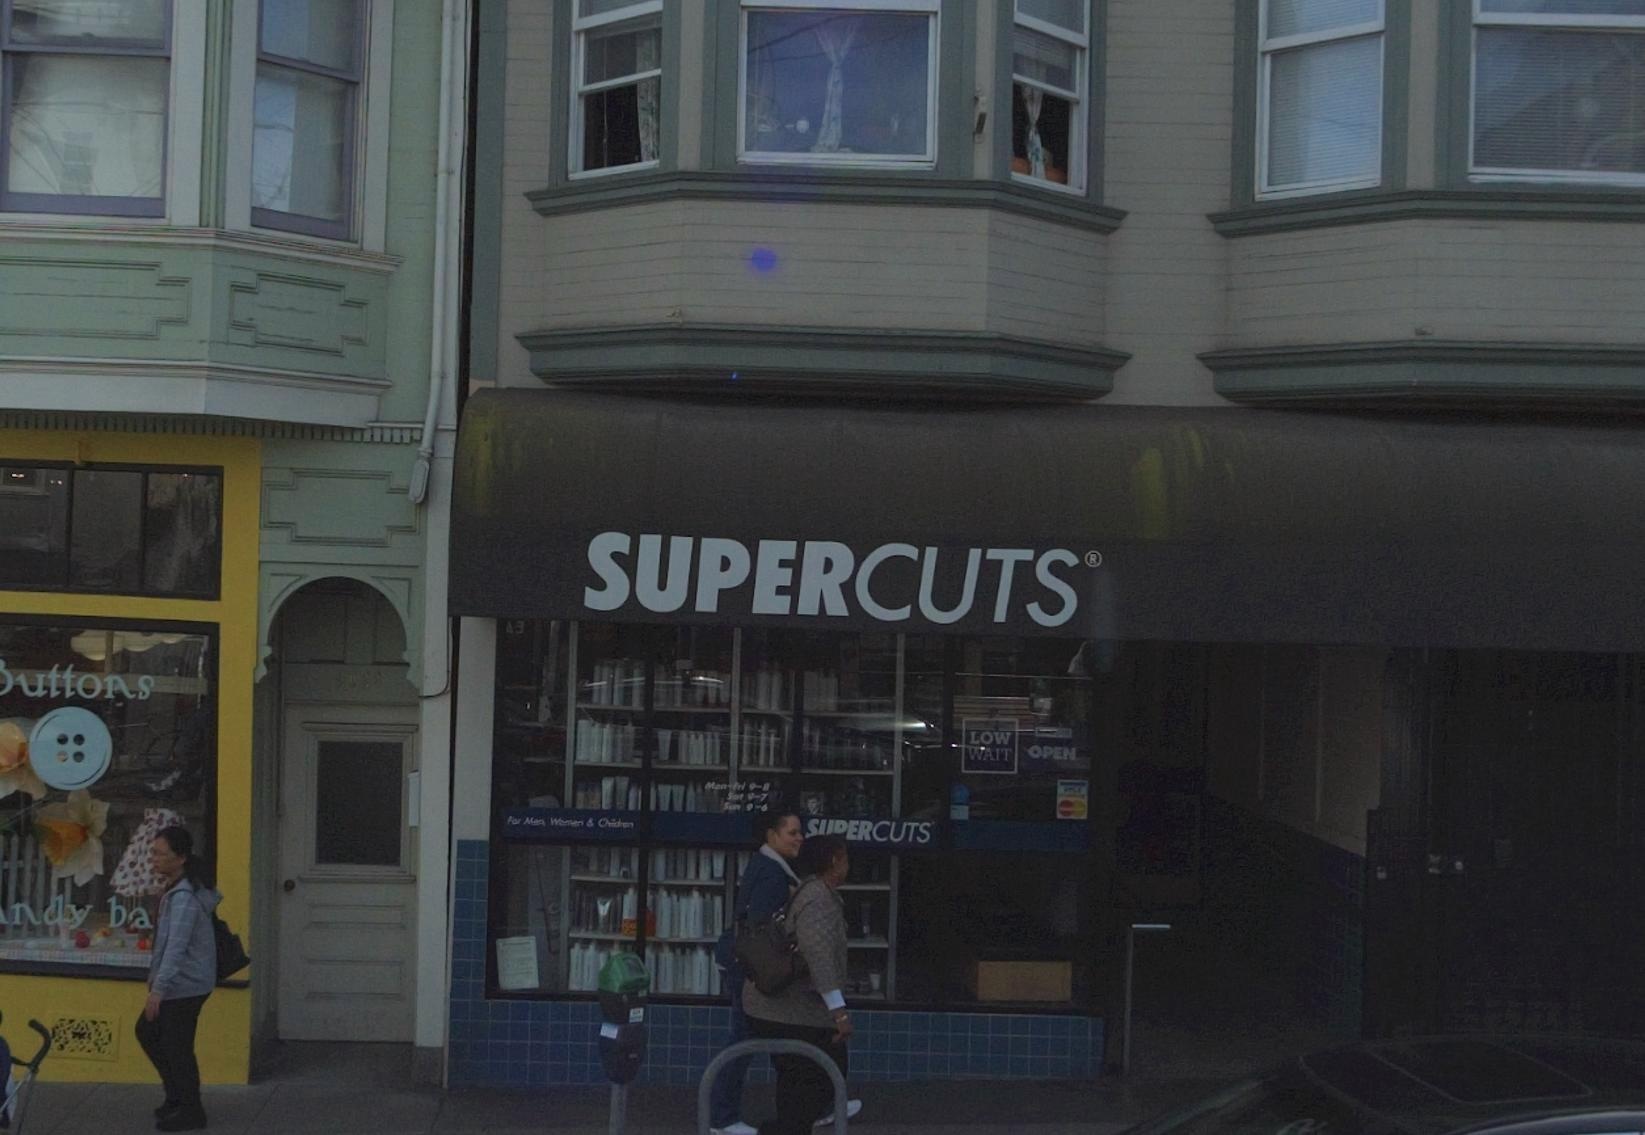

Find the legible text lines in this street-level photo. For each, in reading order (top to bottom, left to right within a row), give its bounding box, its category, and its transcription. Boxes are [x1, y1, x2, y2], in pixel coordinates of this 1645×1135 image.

[581, 529, 1079, 628] BusinessName: Supercuts
[13, 662, 155, 701] BusinessName: uttons
[969, 730, 1012, 745] None: LOW
[967, 746, 1011, 762] None: WAIT
[1027, 744, 1076, 761] None: OPEN
[703, 781, 771, 791] None: Mon-Fri 9-8
[725, 792, 768, 802] None: Sat 9-7
[722, 802, 768, 812] None: Sun 9-6
[507, 815, 635, 829] None: For Men Women & Children
[805, 818, 932, 844] BusinessName: S**ERCUTS
[13, 893, 155, 930] None: ndy ba